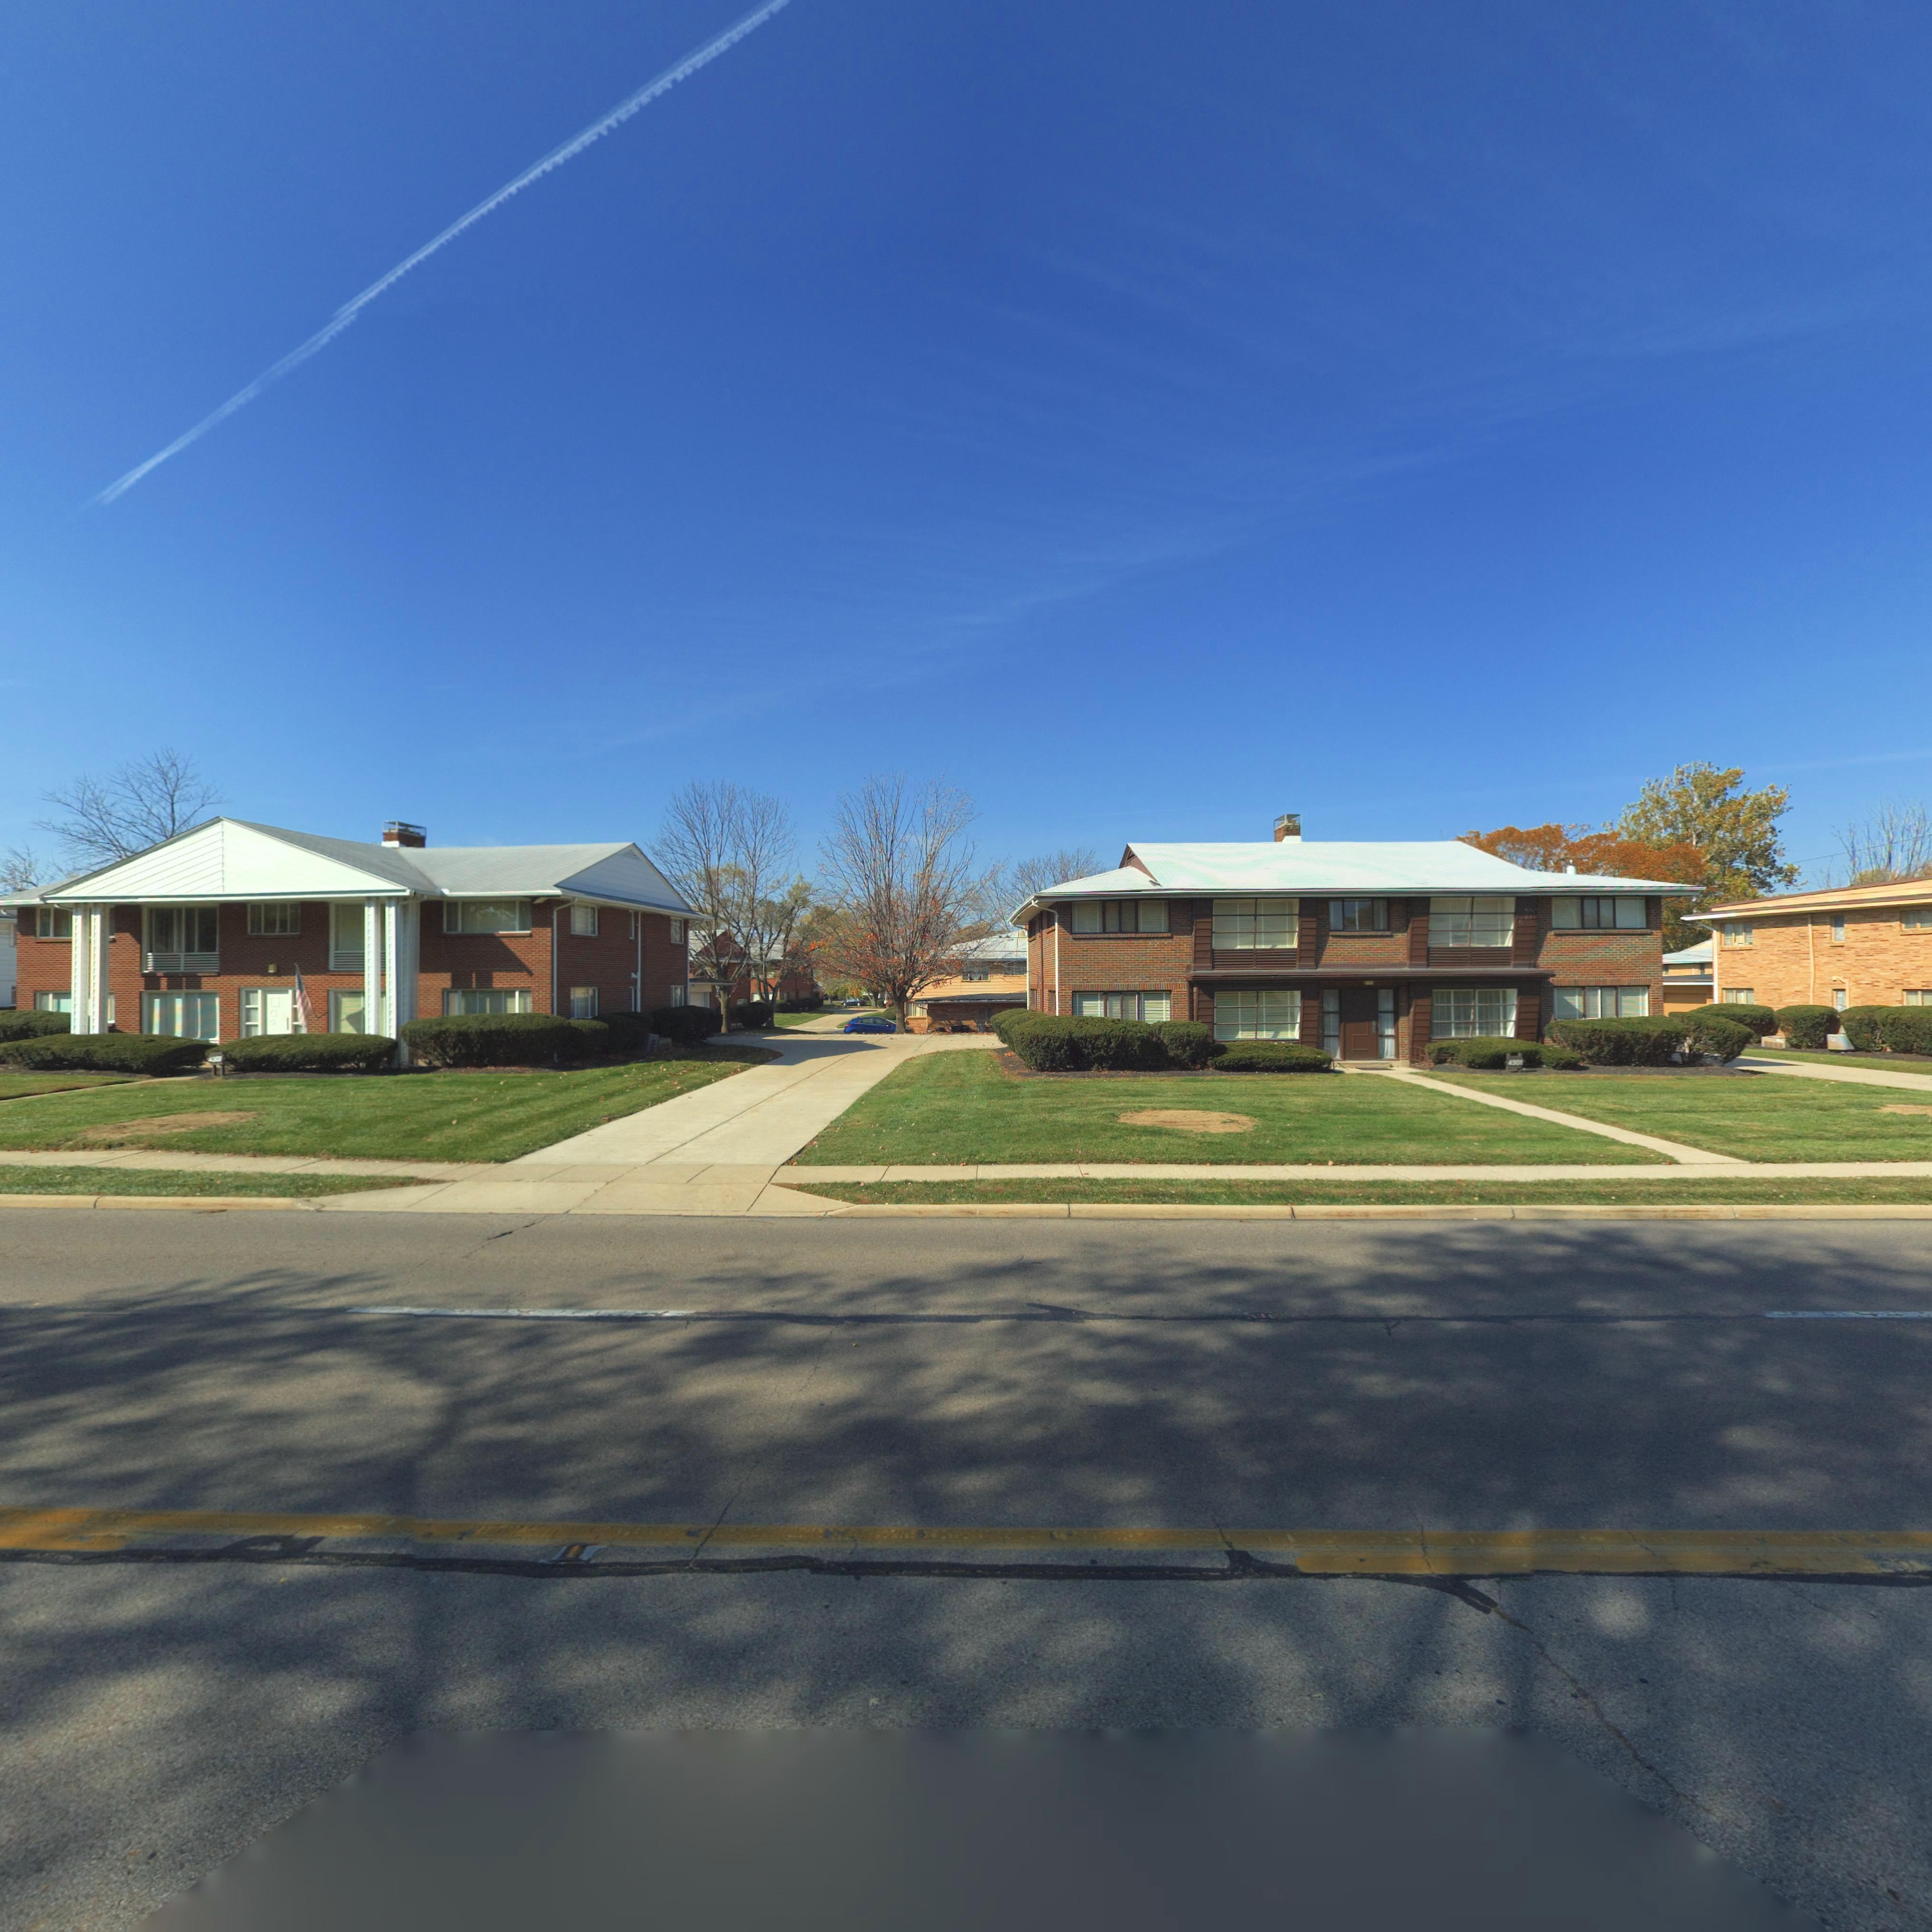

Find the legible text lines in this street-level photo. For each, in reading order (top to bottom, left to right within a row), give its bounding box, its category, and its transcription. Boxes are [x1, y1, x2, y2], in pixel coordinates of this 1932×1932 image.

[1507, 1058, 1524, 1067] StreetNumber: 4301